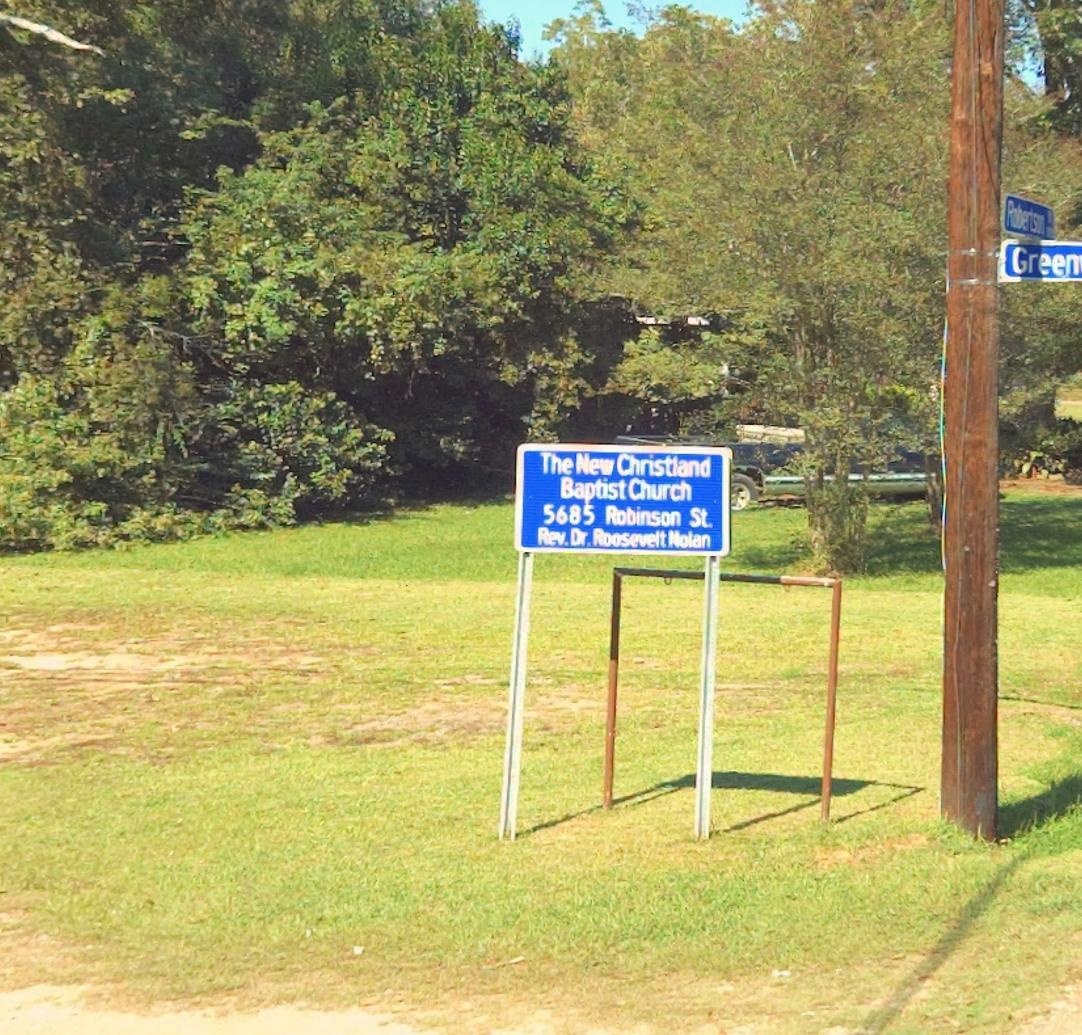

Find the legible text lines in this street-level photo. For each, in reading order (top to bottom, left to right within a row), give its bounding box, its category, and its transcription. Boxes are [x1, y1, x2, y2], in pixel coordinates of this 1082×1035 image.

[1005, 198, 1046, 238] StreetName: Rob**son
[1011, 244, 1080, 277] StreetName: Green
[539, 450, 713, 479] BusinessName: The New Christland
[559, 474, 694, 506] BusinessName: Bapist Church
[541, 503, 596, 527] StreetNumber: 5685
[604, 502, 711, 529] StreetName: Robinson St
[536, 525, 712, 550] None: Rev. Dr. Roosevelt Nolan